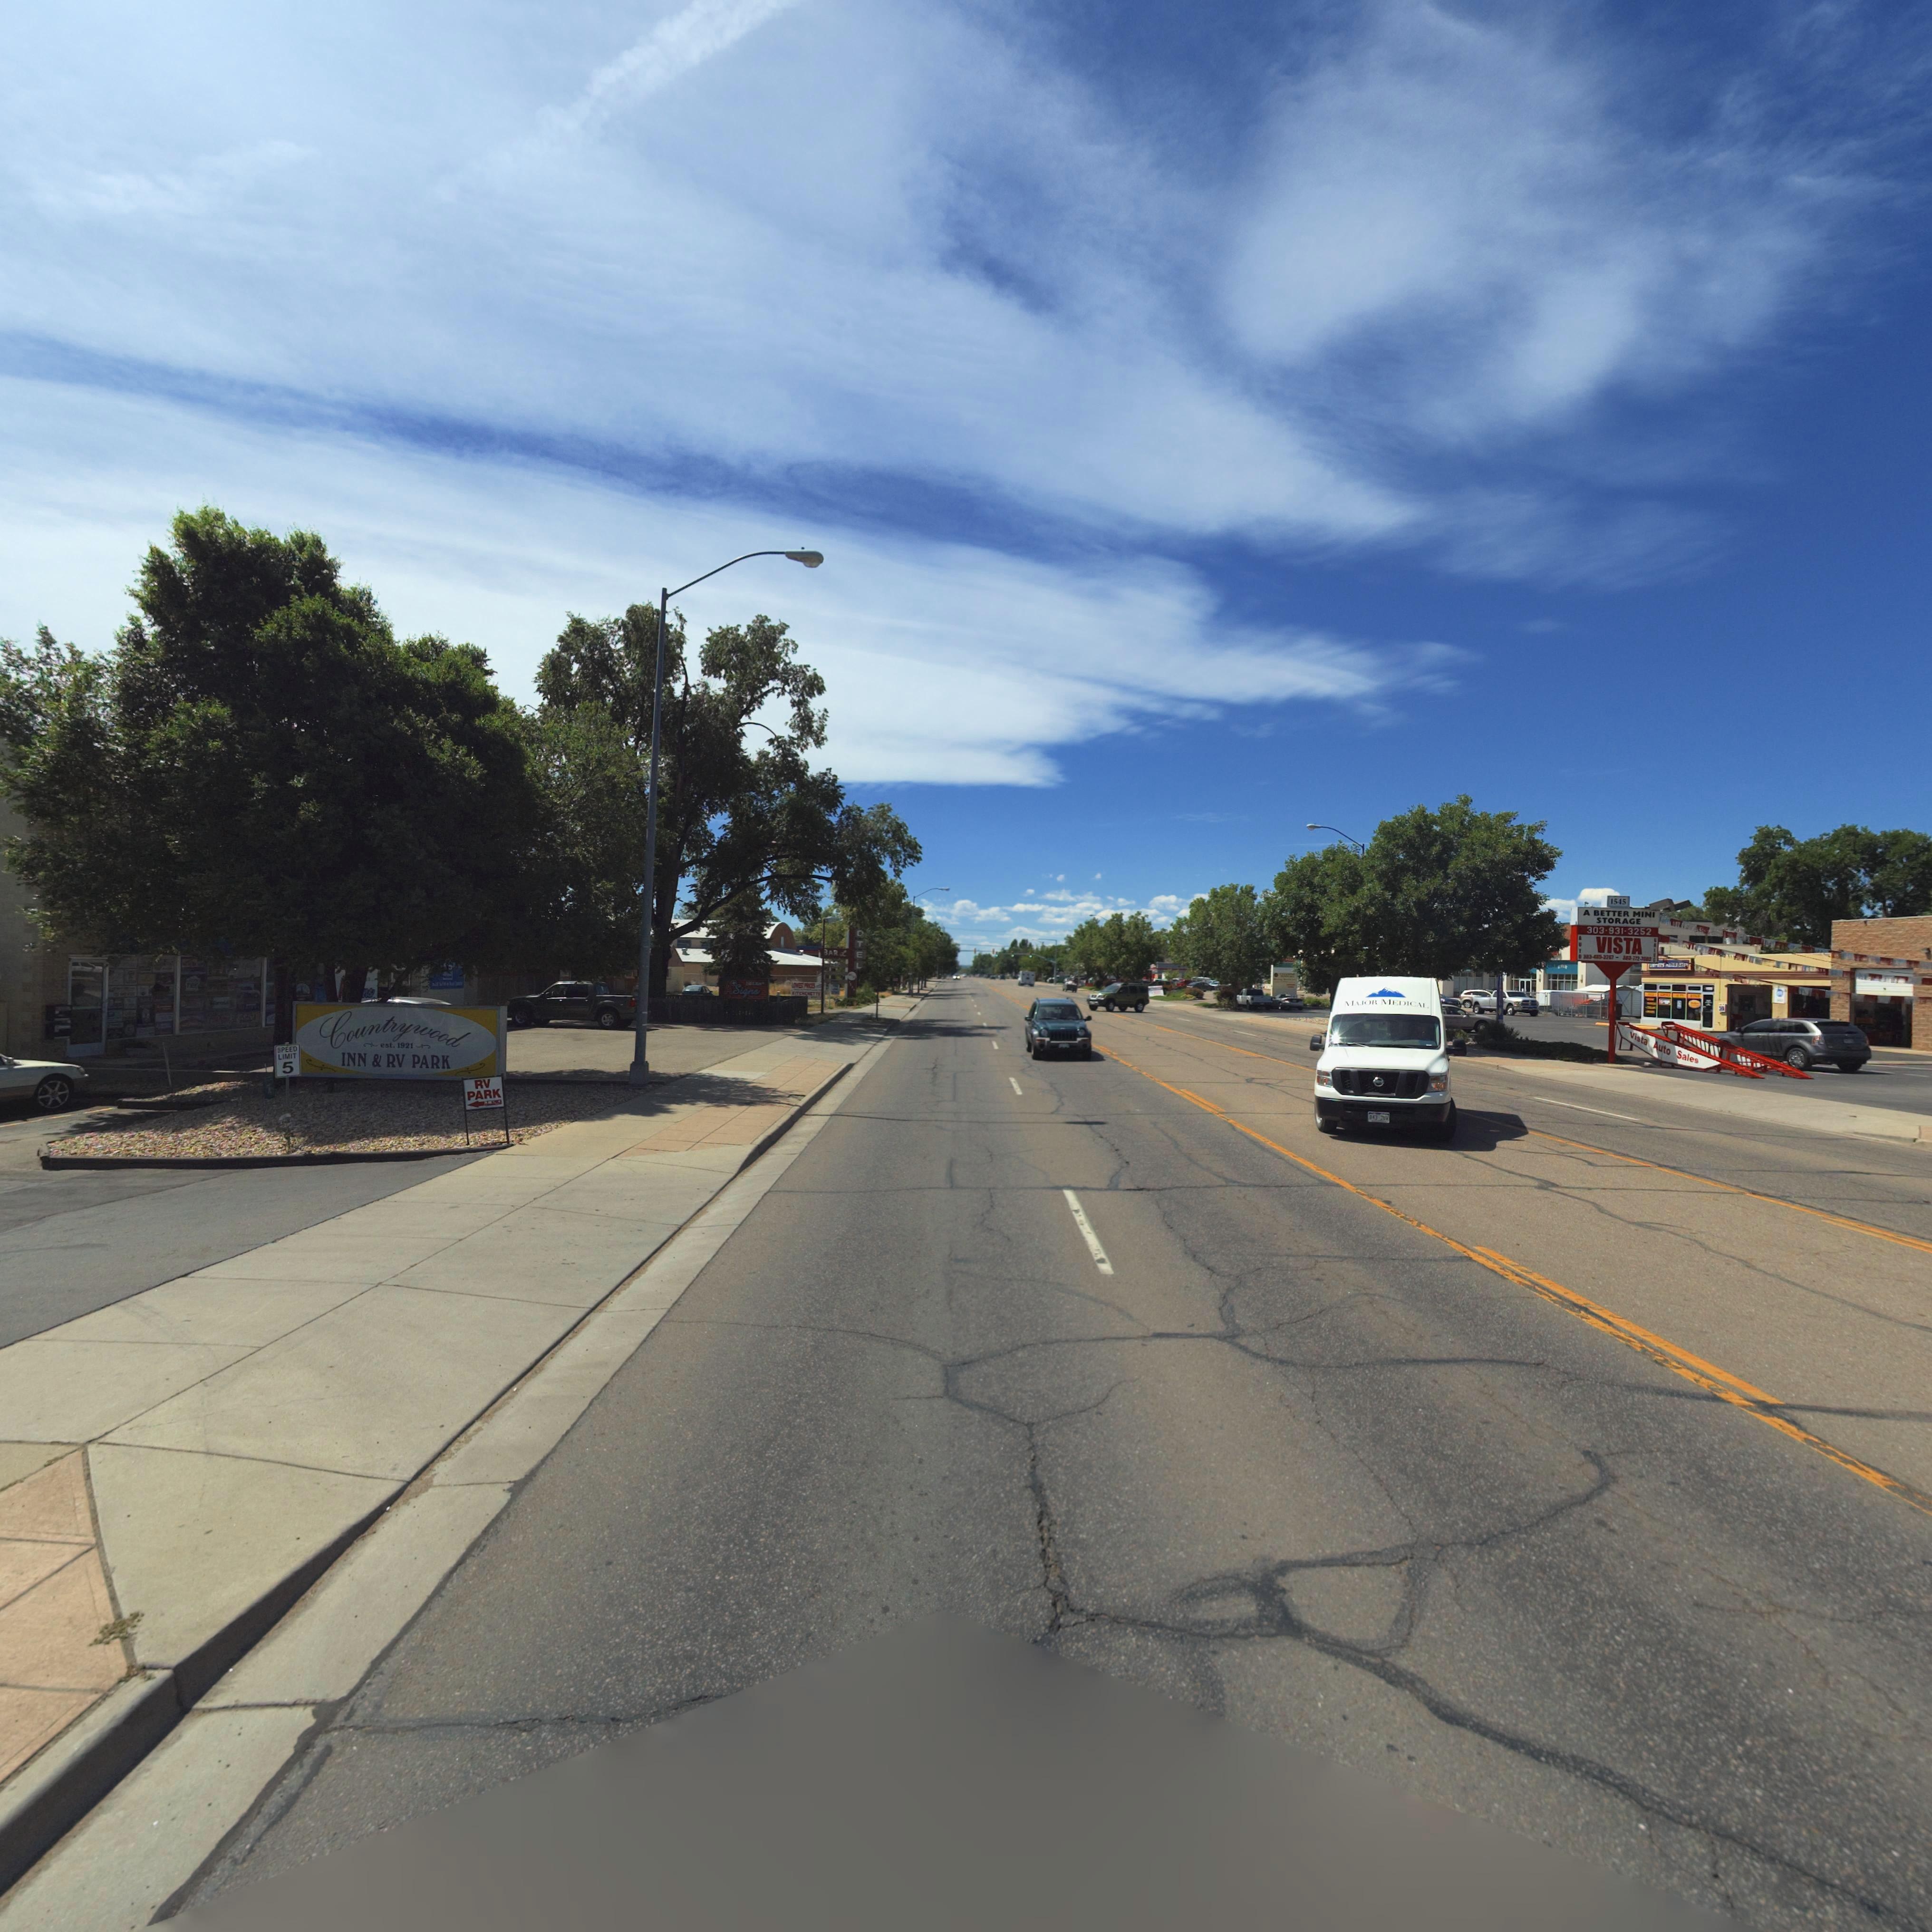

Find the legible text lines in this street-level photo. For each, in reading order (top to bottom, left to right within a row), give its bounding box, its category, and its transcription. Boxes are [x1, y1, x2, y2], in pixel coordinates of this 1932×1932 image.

[1610, 898, 1626, 905] StreetNumber: 1545
[823, 948, 847, 957] BusinessName: BAR L
[856, 929, 865, 969] BusinessName: OTEL
[1578, 935, 1582, 959] BusinessName: AUTO
[1595, 936, 1642, 955] BusinessName: VISTA
[1652, 937, 1656, 962] BusinessName: SALES
[723, 980, 762, 998] BusinessName: A*Signs
[318, 1010, 471, 1050] BusinessName: Countrywood
[1630, 1030, 1699, 1064] BusinessName: Vista Auto Sales
[341, 1052, 452, 1070] BusinessName: INN * RV PARK